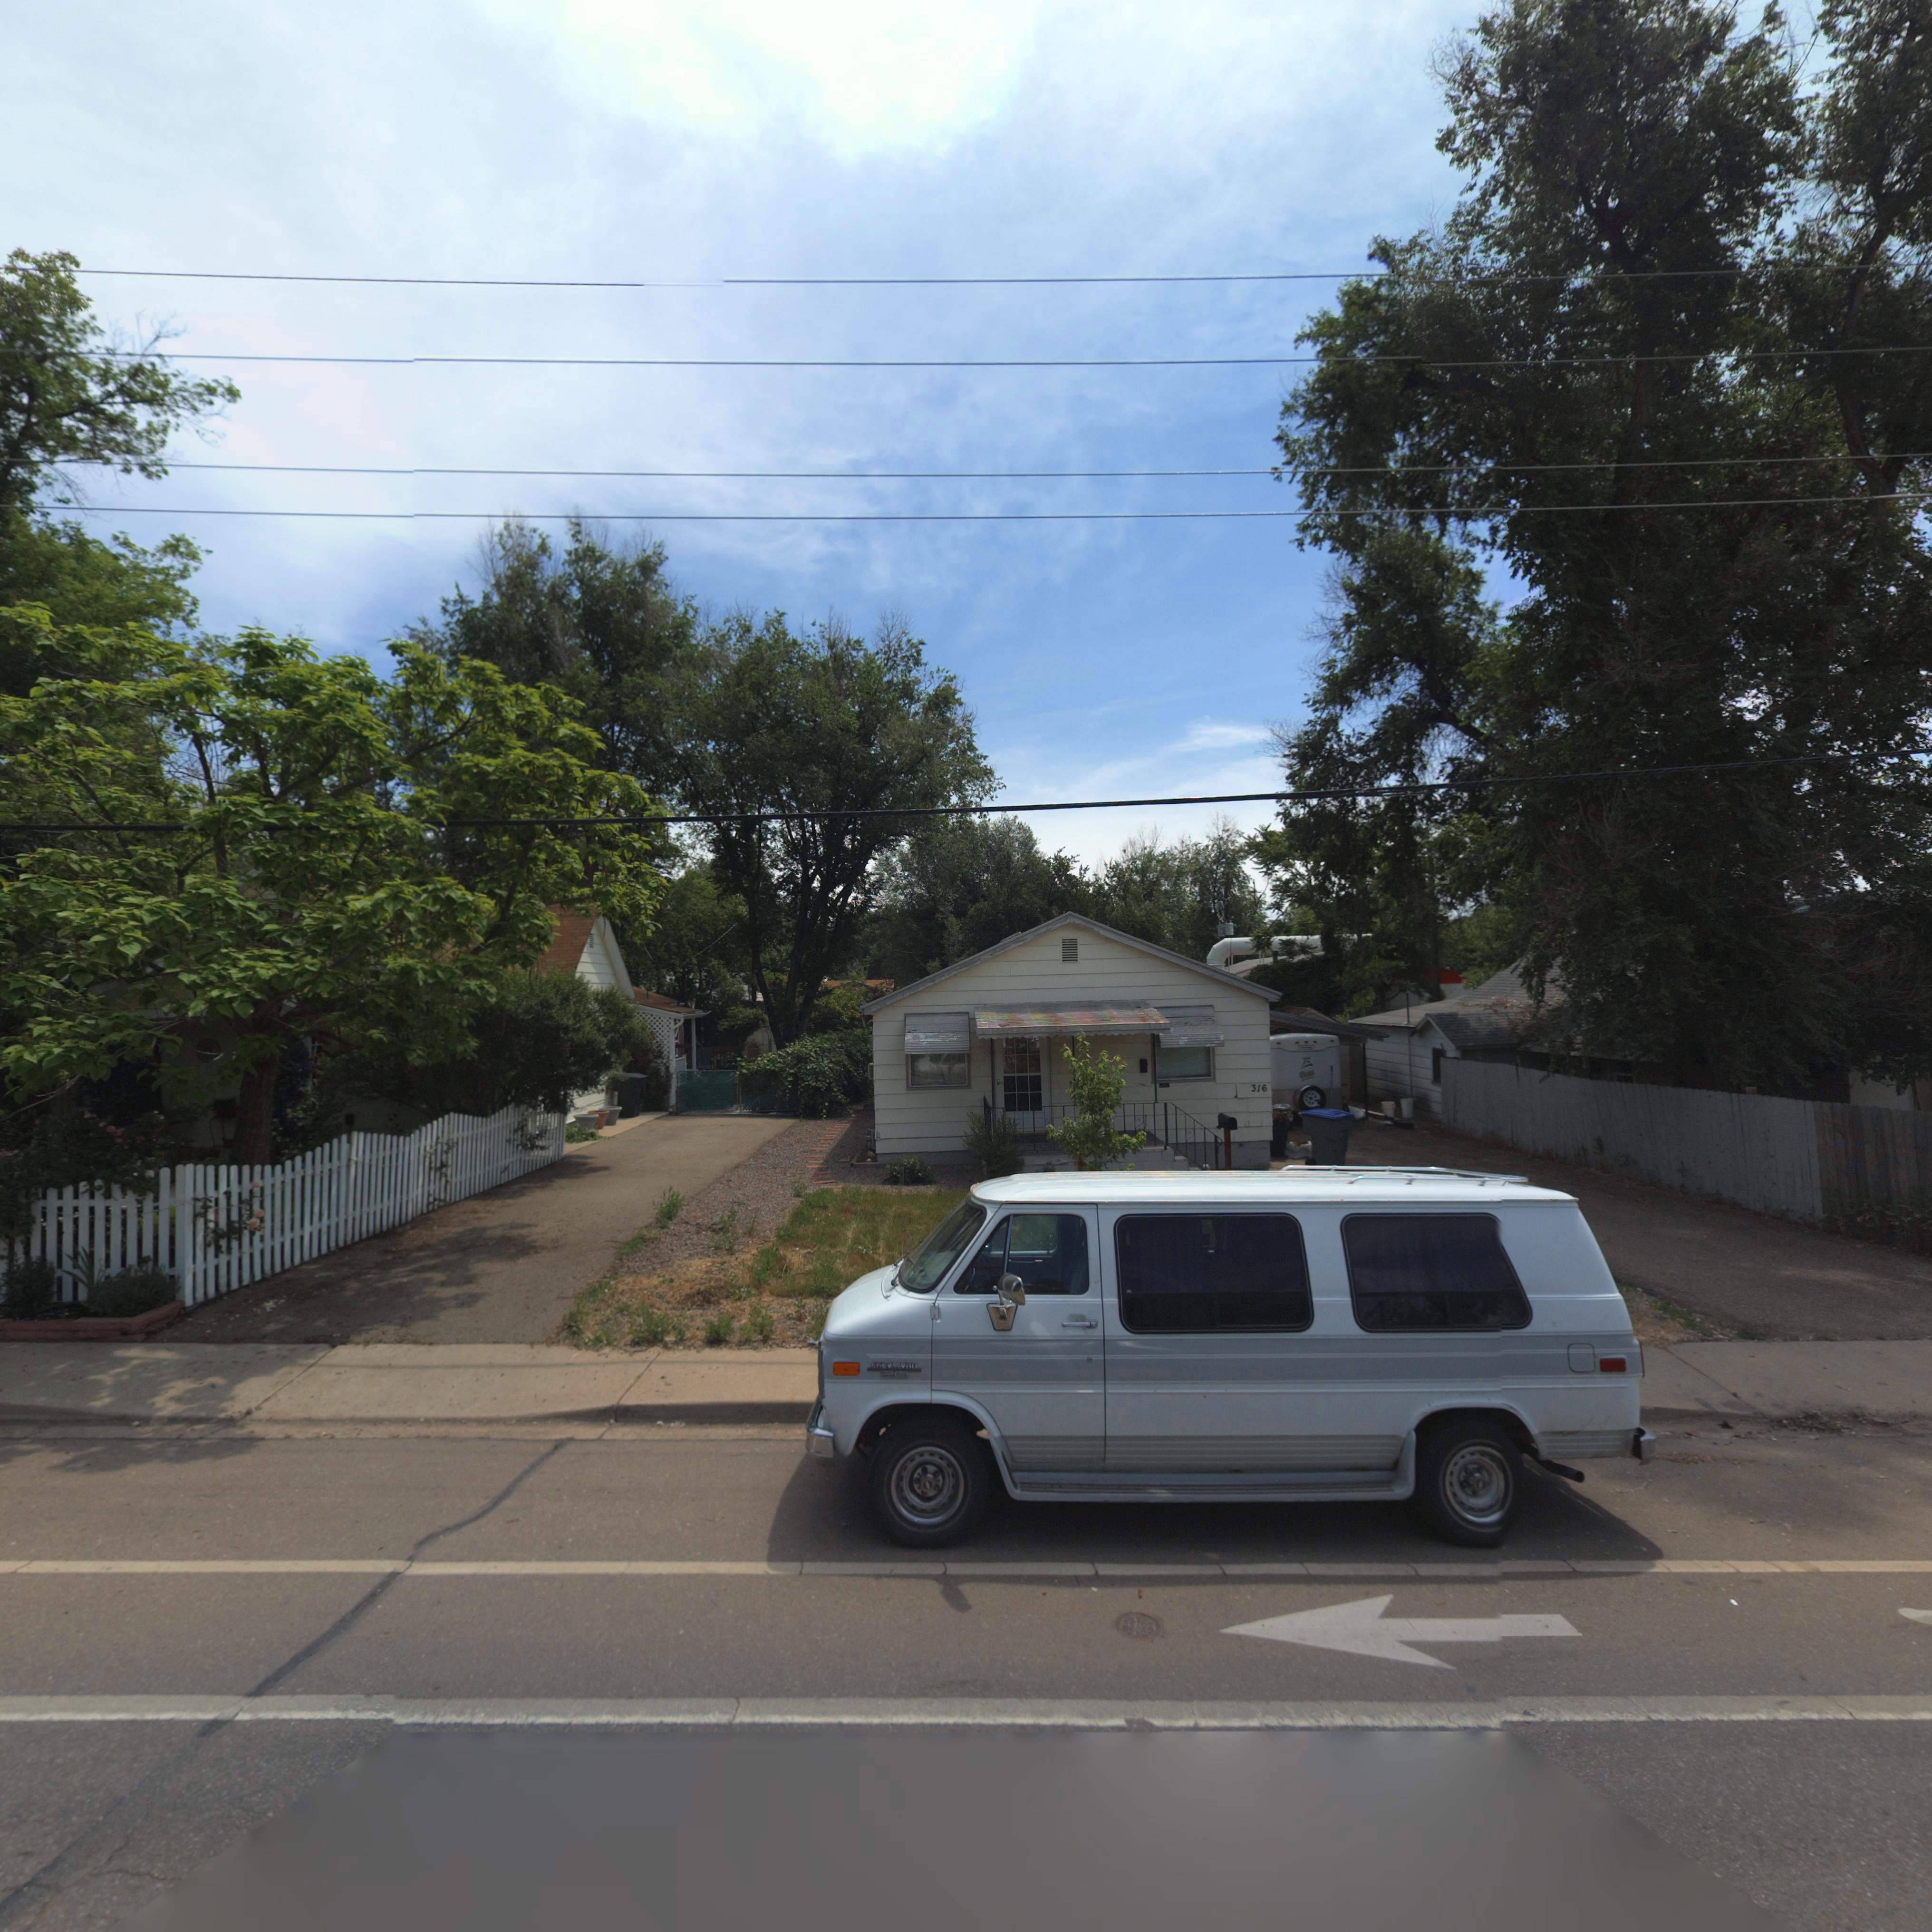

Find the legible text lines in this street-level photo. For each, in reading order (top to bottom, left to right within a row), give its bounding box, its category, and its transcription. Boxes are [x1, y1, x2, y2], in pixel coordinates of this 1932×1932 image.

[1250, 1083, 1267, 1093] StreetNumber: 316